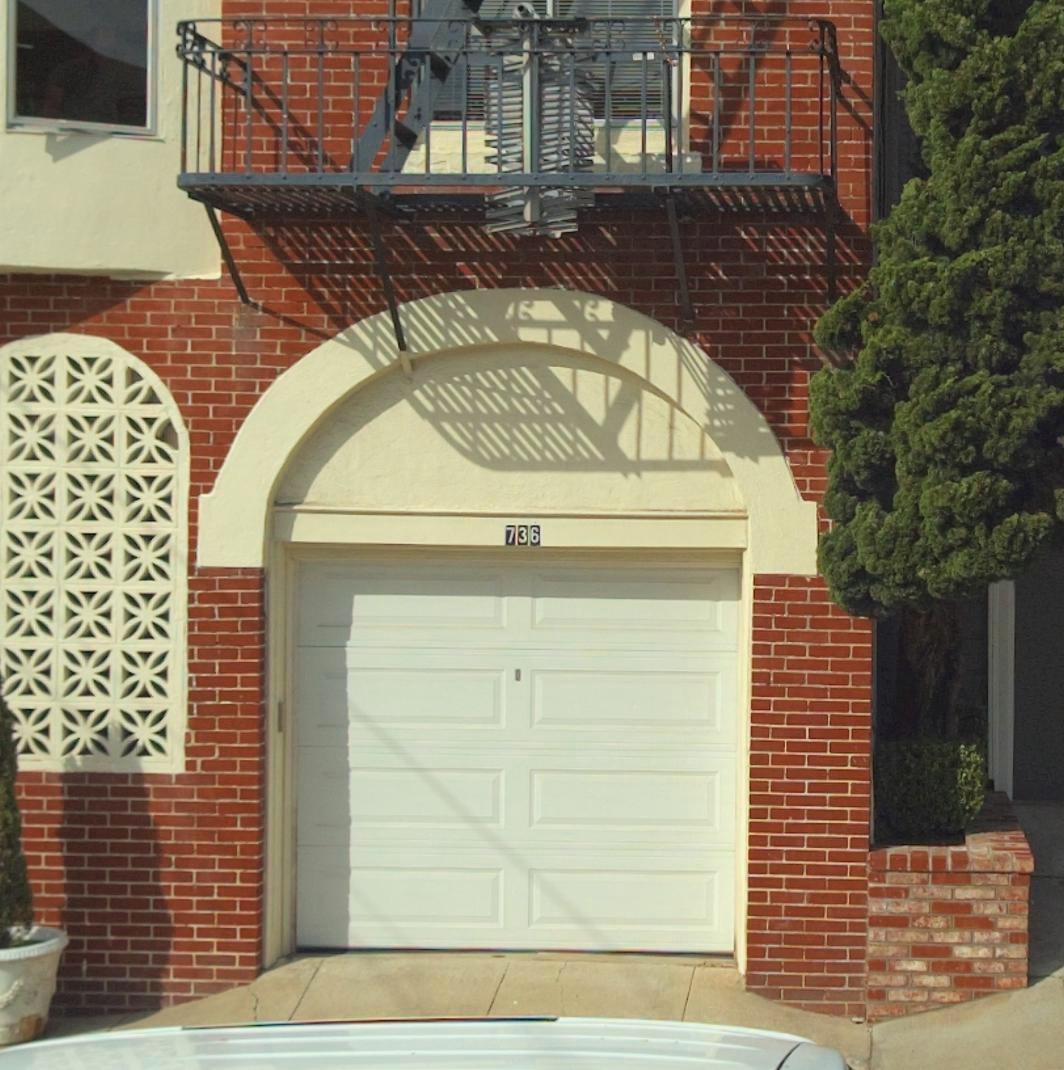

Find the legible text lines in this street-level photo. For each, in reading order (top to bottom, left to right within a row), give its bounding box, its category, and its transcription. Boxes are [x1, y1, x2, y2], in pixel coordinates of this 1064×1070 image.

[506, 525, 540, 545] StreetNumber: 736